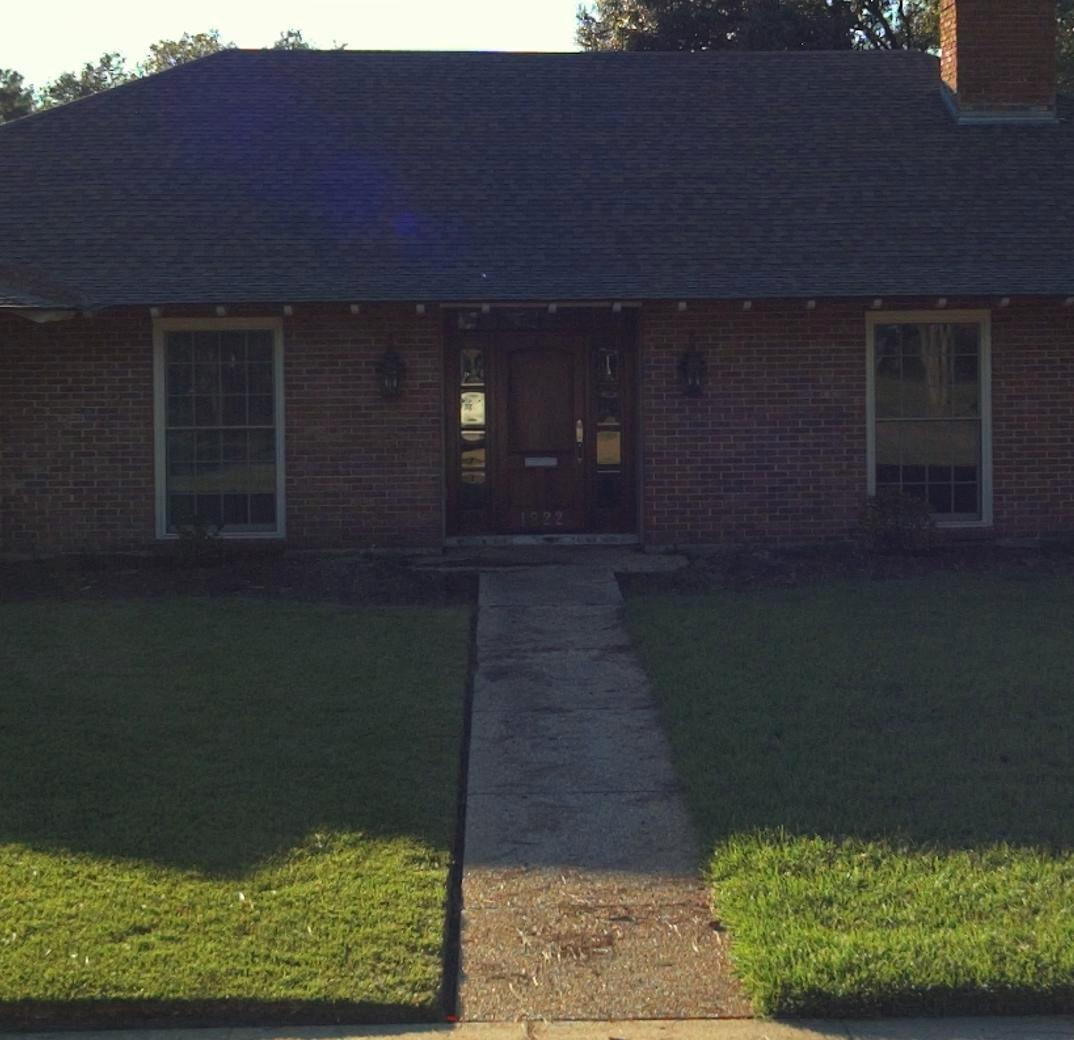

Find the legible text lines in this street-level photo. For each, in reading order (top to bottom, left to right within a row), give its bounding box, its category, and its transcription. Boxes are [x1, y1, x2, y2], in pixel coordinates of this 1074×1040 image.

[518, 509, 565, 530] StreetNumber: 1922